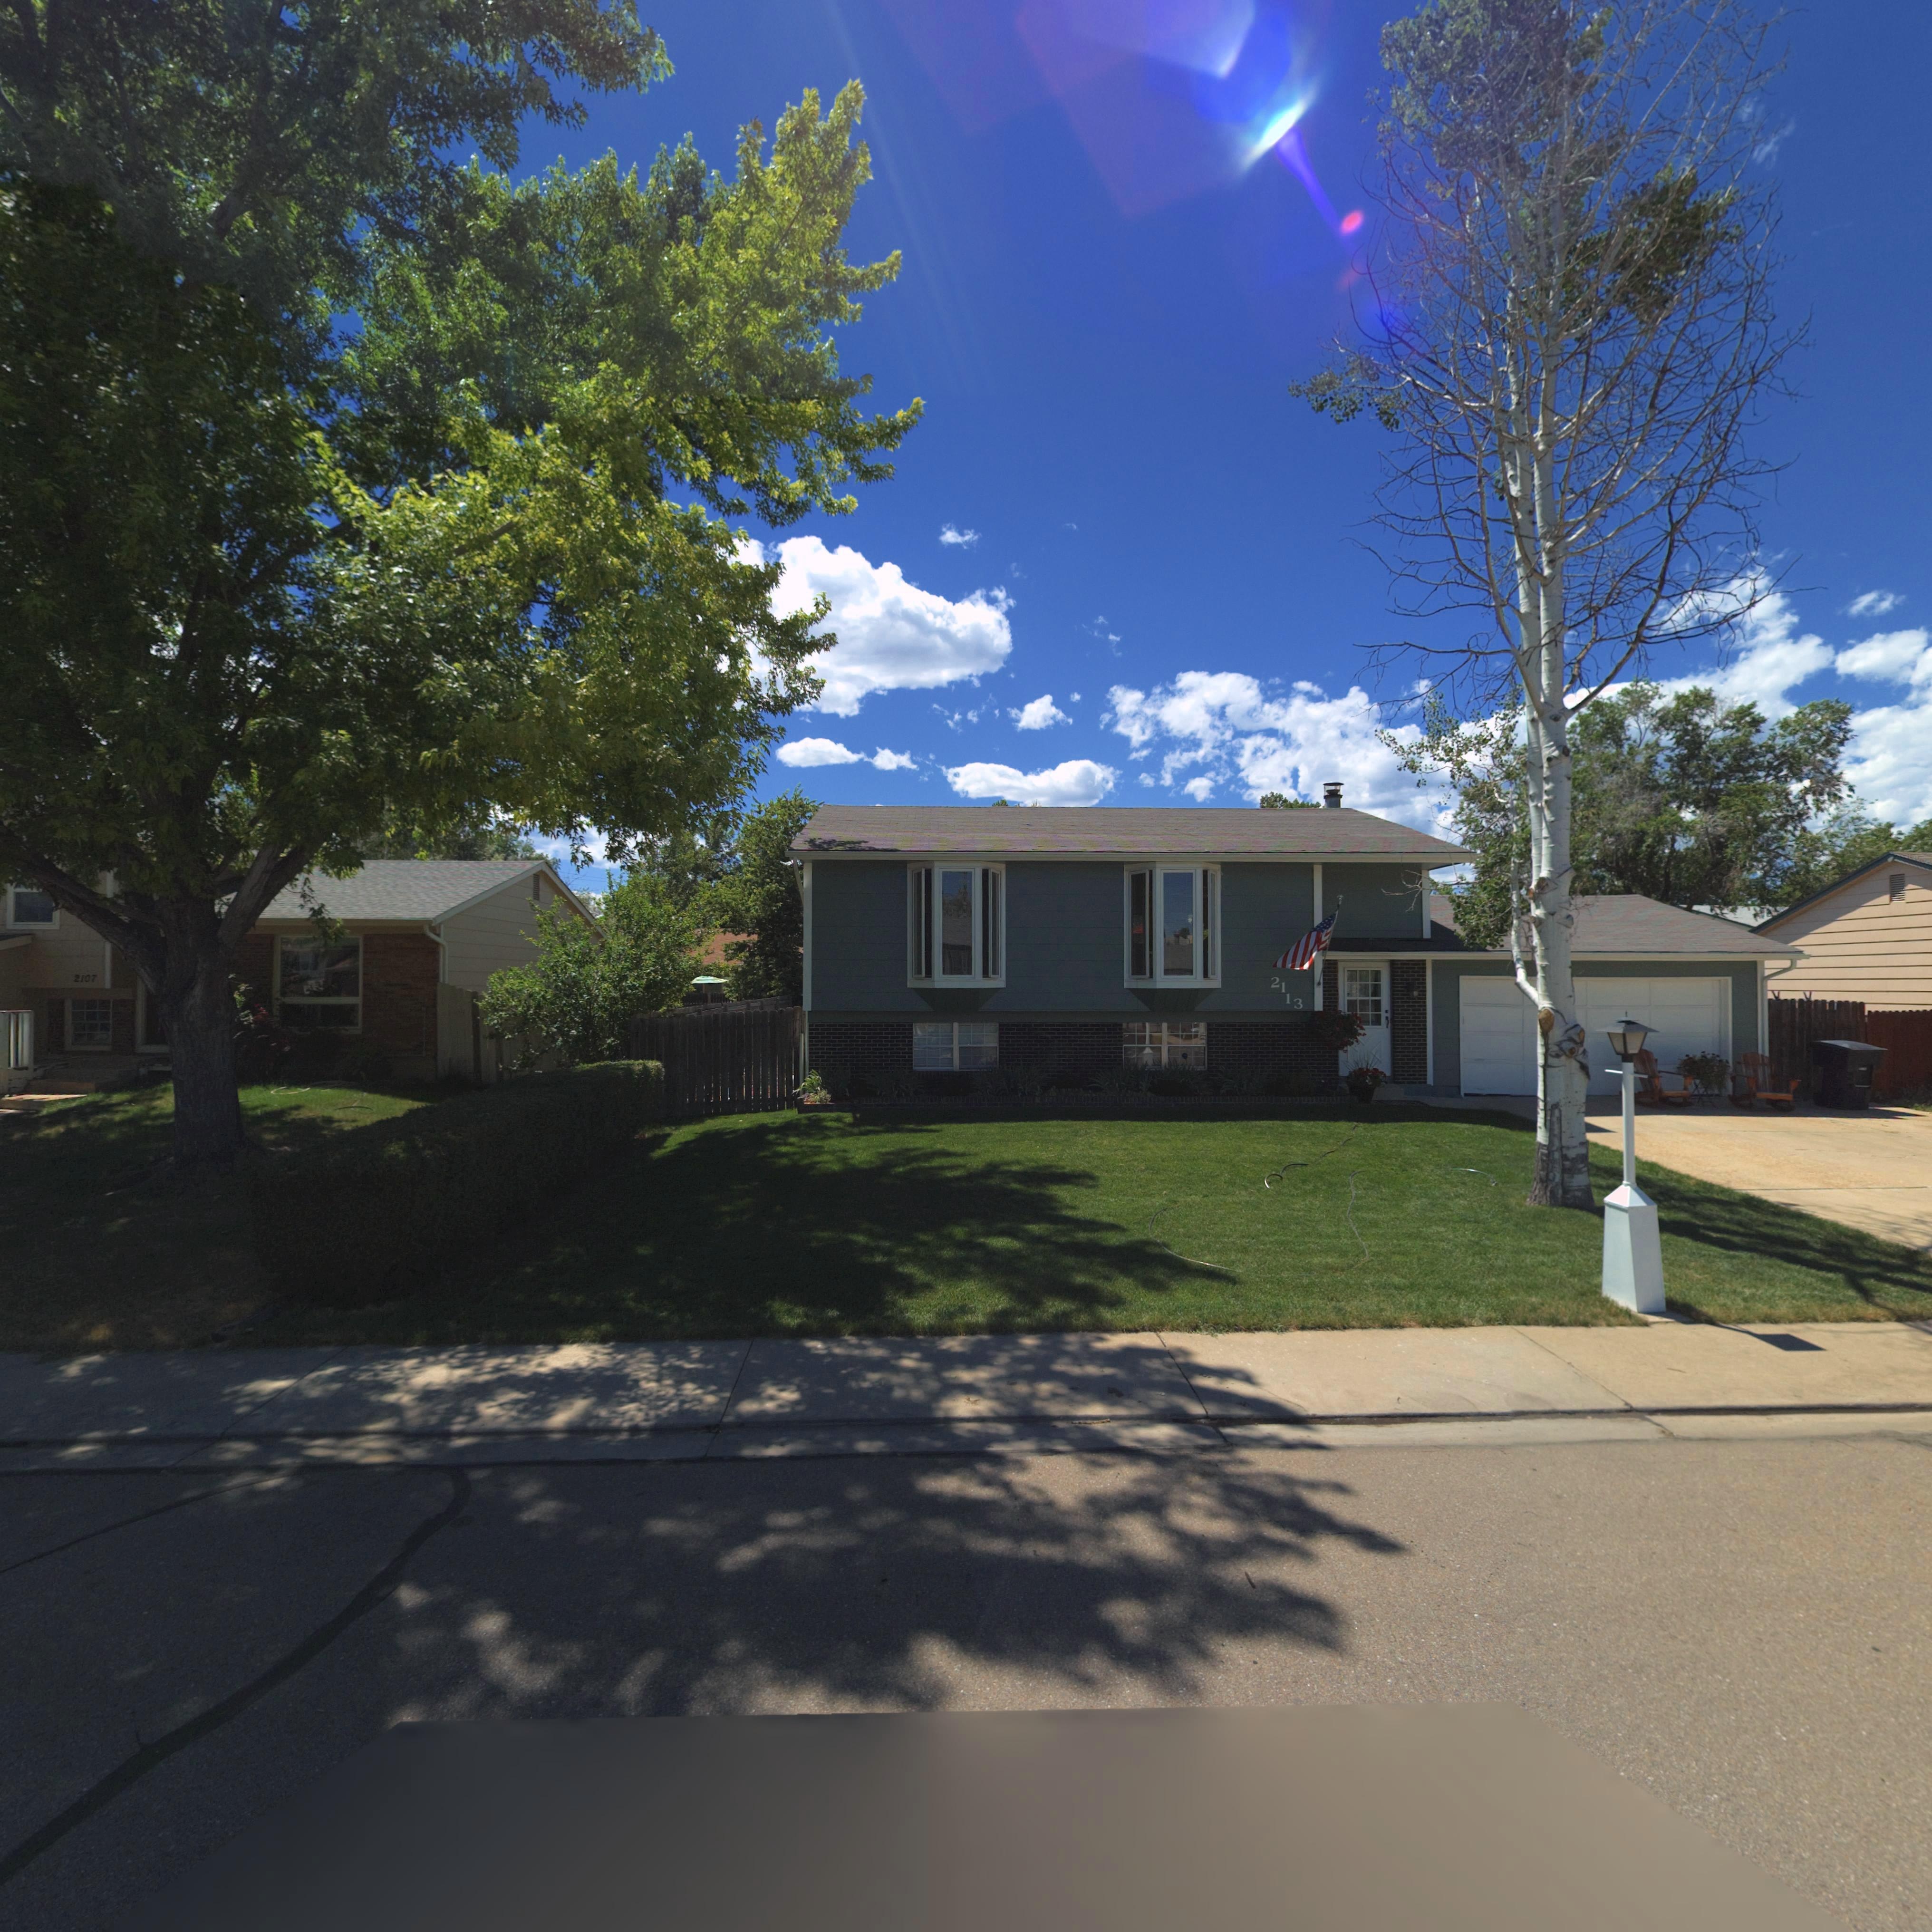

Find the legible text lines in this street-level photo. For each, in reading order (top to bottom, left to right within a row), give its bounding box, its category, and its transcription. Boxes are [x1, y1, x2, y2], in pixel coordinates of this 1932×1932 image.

[73, 974, 97, 983] StreetNumber: 2107
[1270, 976, 1303, 1009] StreetNumber: 2113